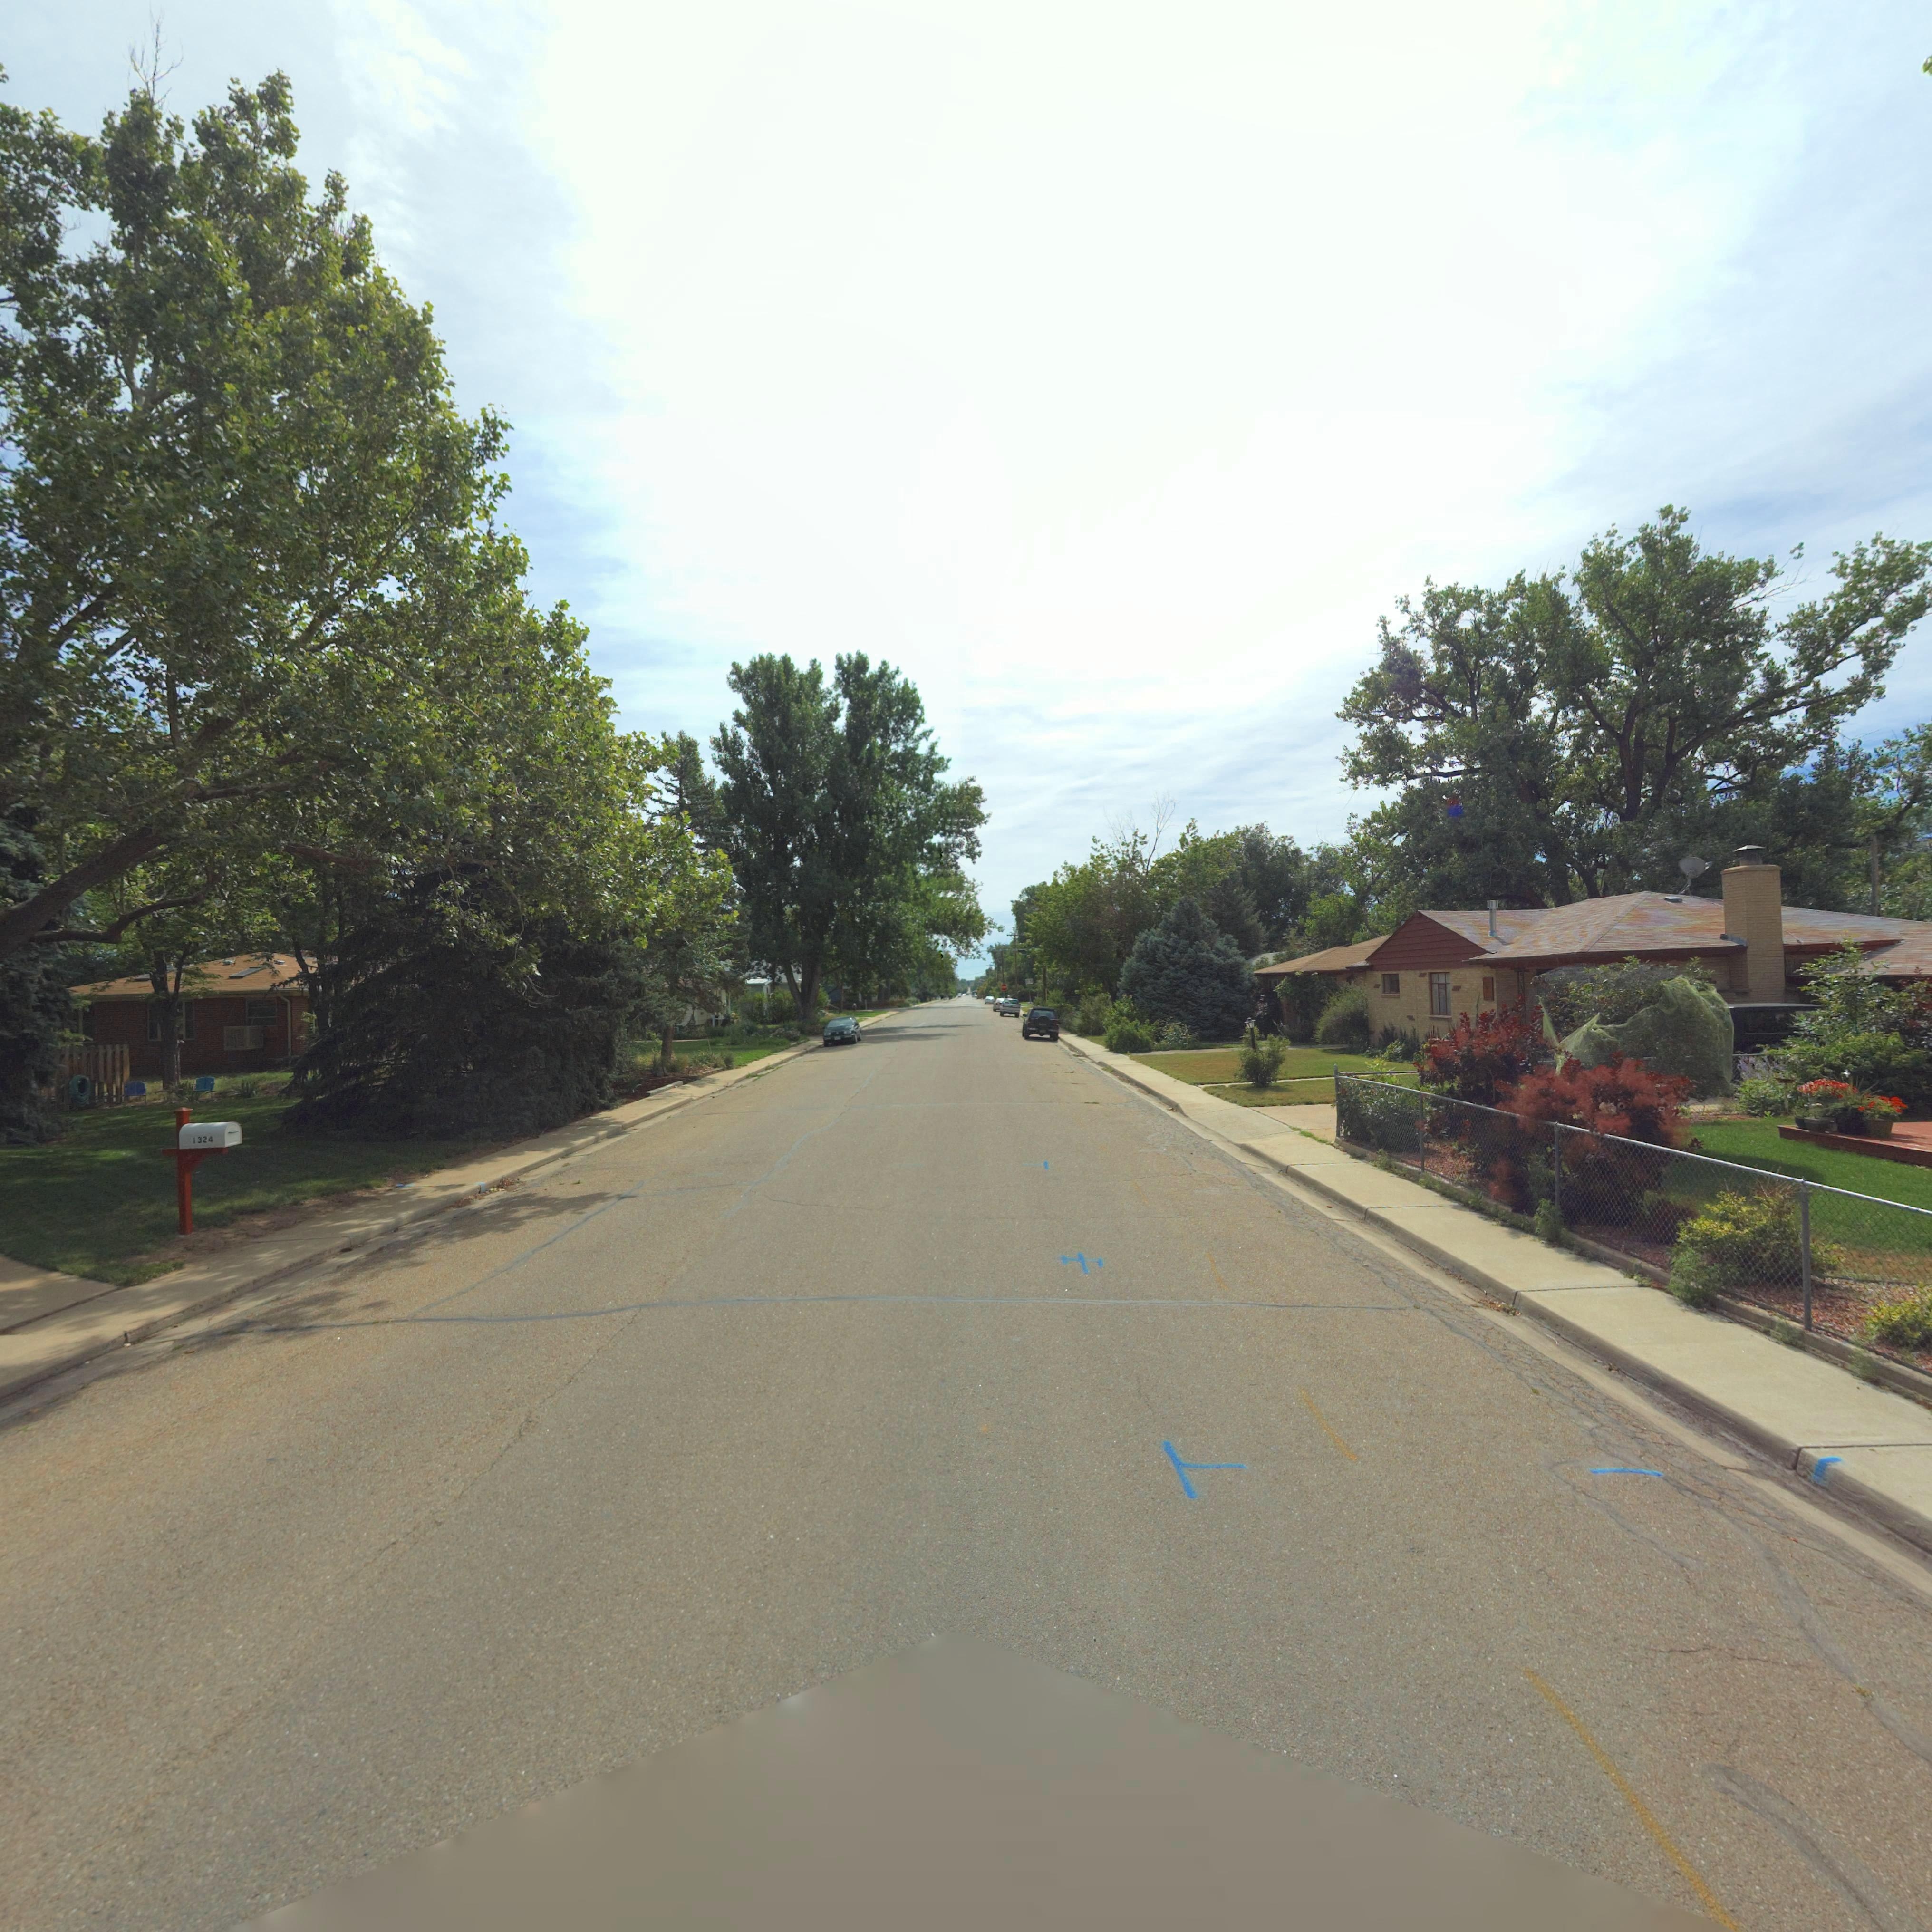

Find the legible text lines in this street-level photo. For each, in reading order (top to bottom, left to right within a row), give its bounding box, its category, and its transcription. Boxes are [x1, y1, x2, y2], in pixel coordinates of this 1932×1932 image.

[193, 1135, 213, 1144] StreetNumber: 1324